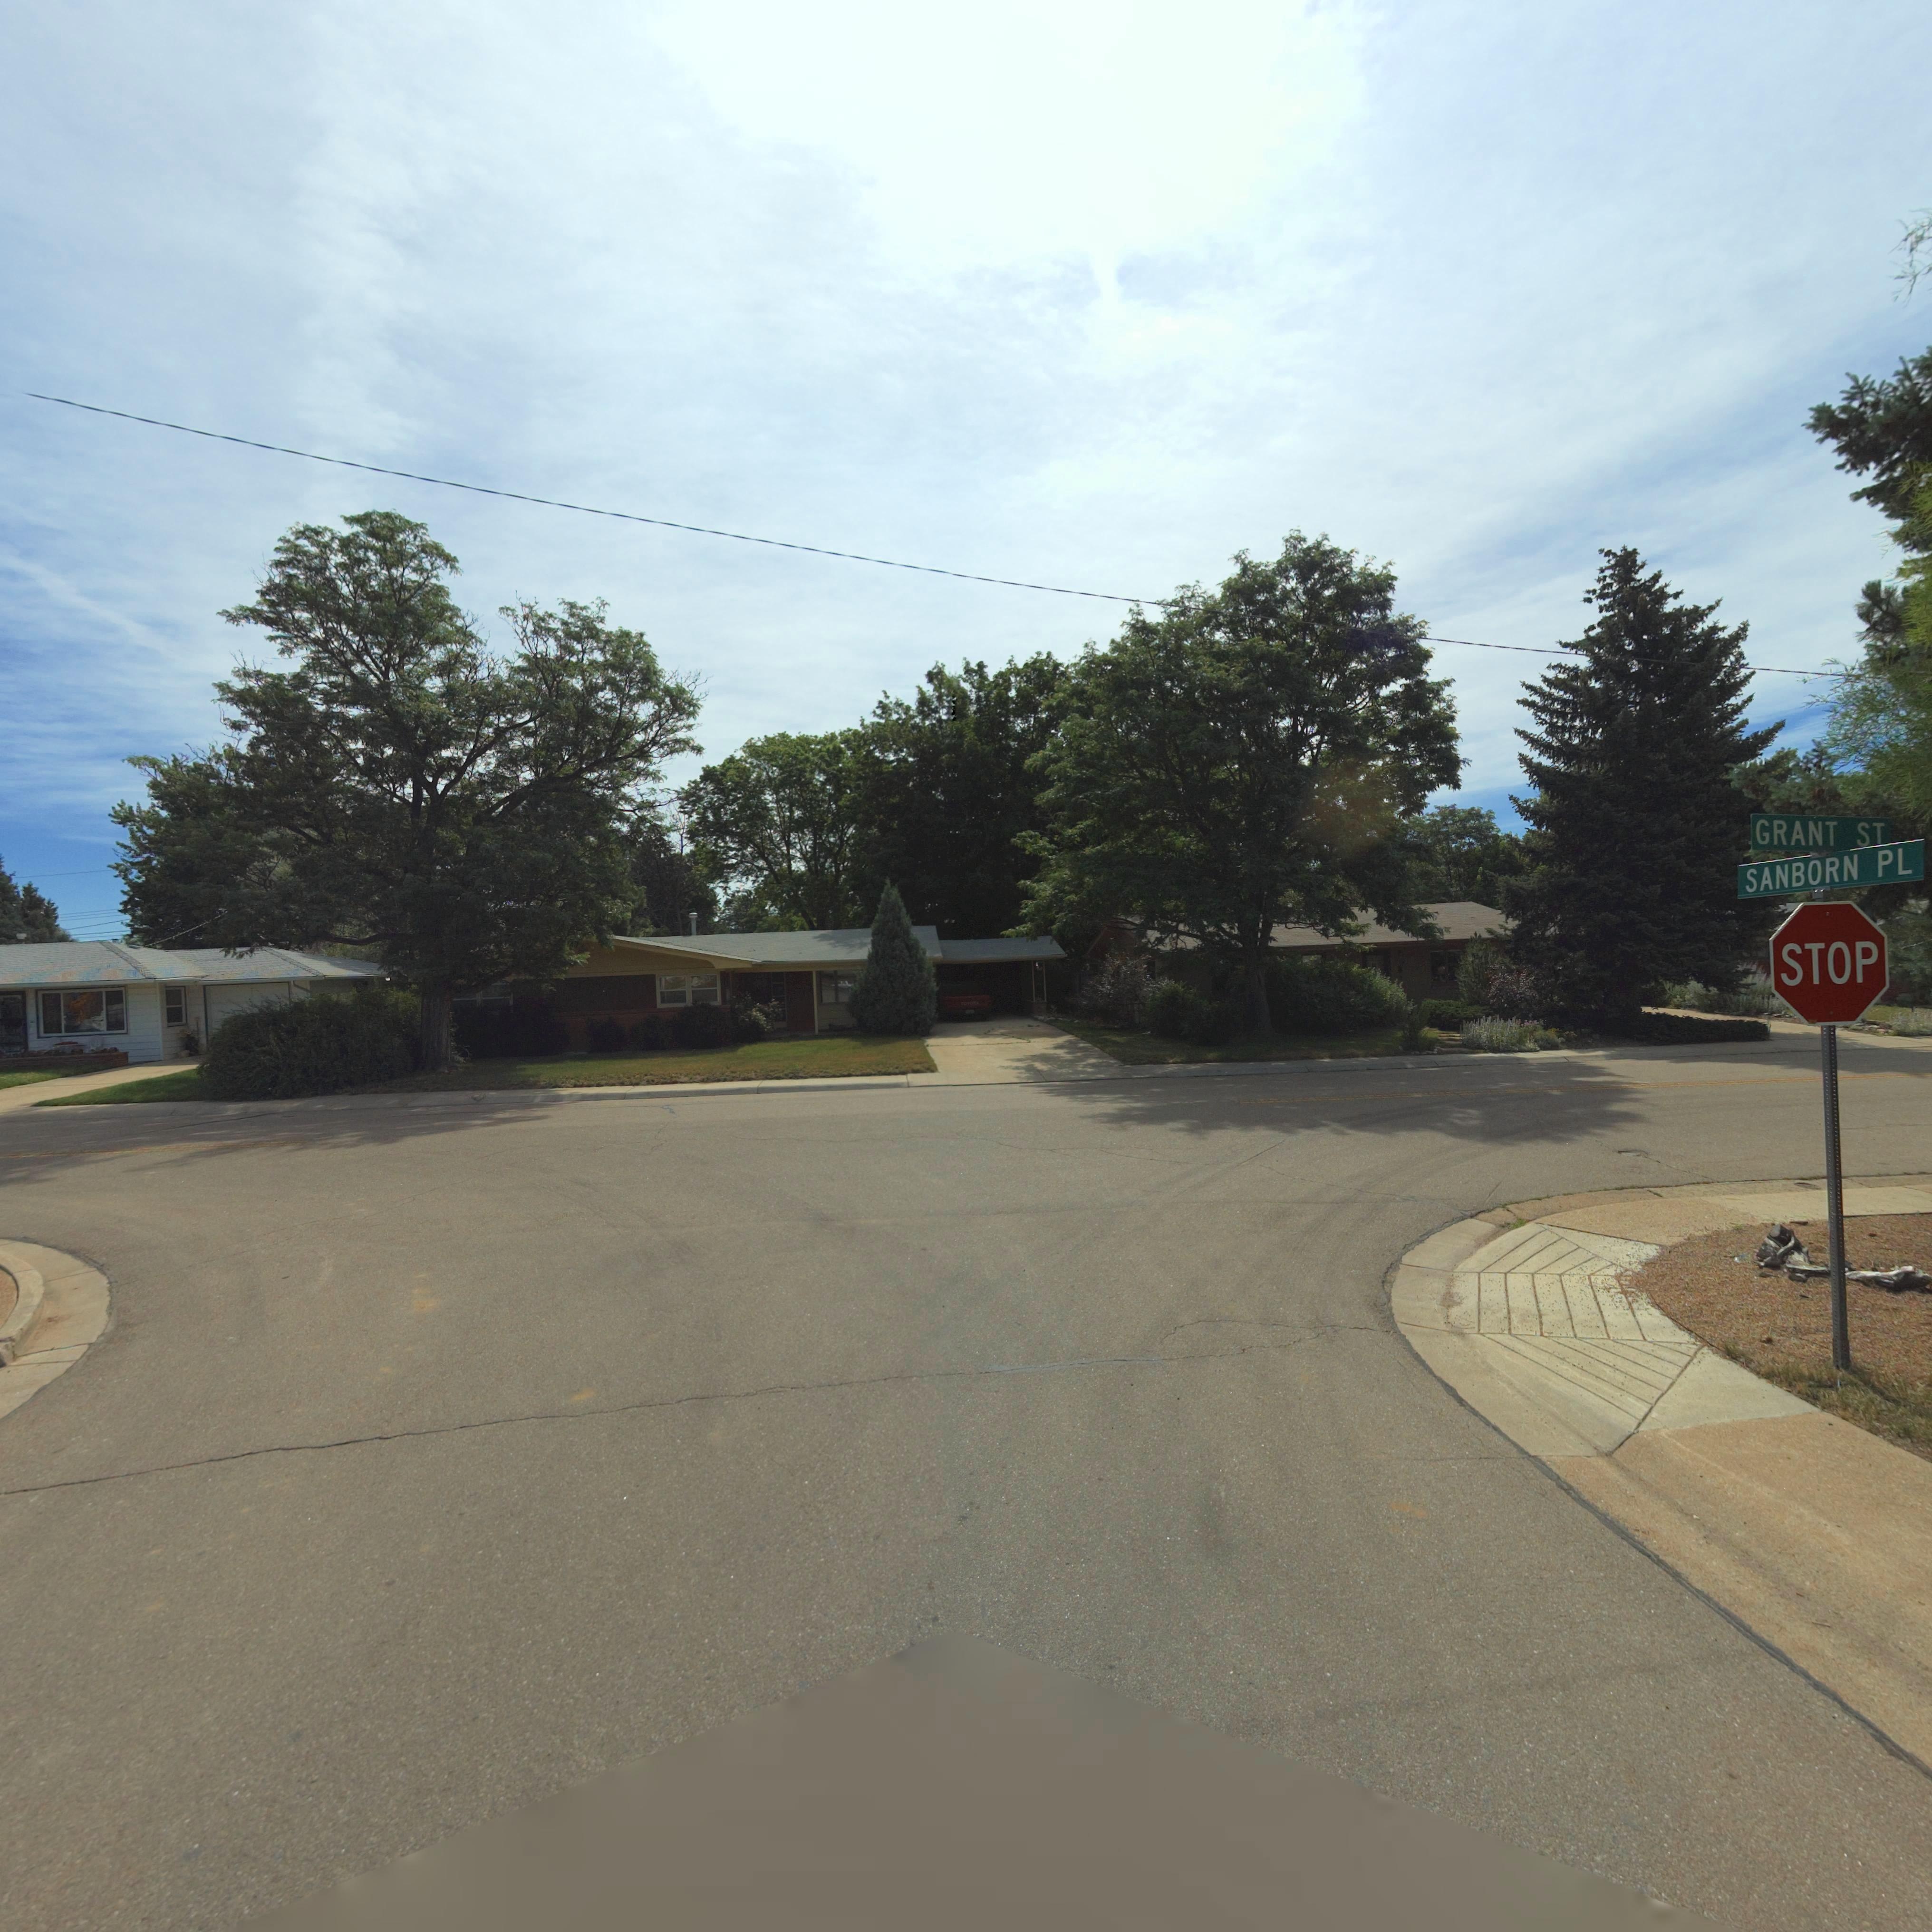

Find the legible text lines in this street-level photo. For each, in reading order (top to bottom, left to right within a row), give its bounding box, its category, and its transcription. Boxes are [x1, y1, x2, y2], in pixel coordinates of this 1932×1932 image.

[1755, 819, 1885, 847] StreetName: GRANT ST
[1745, 847, 1913, 893] StreetName: SANBORN PL